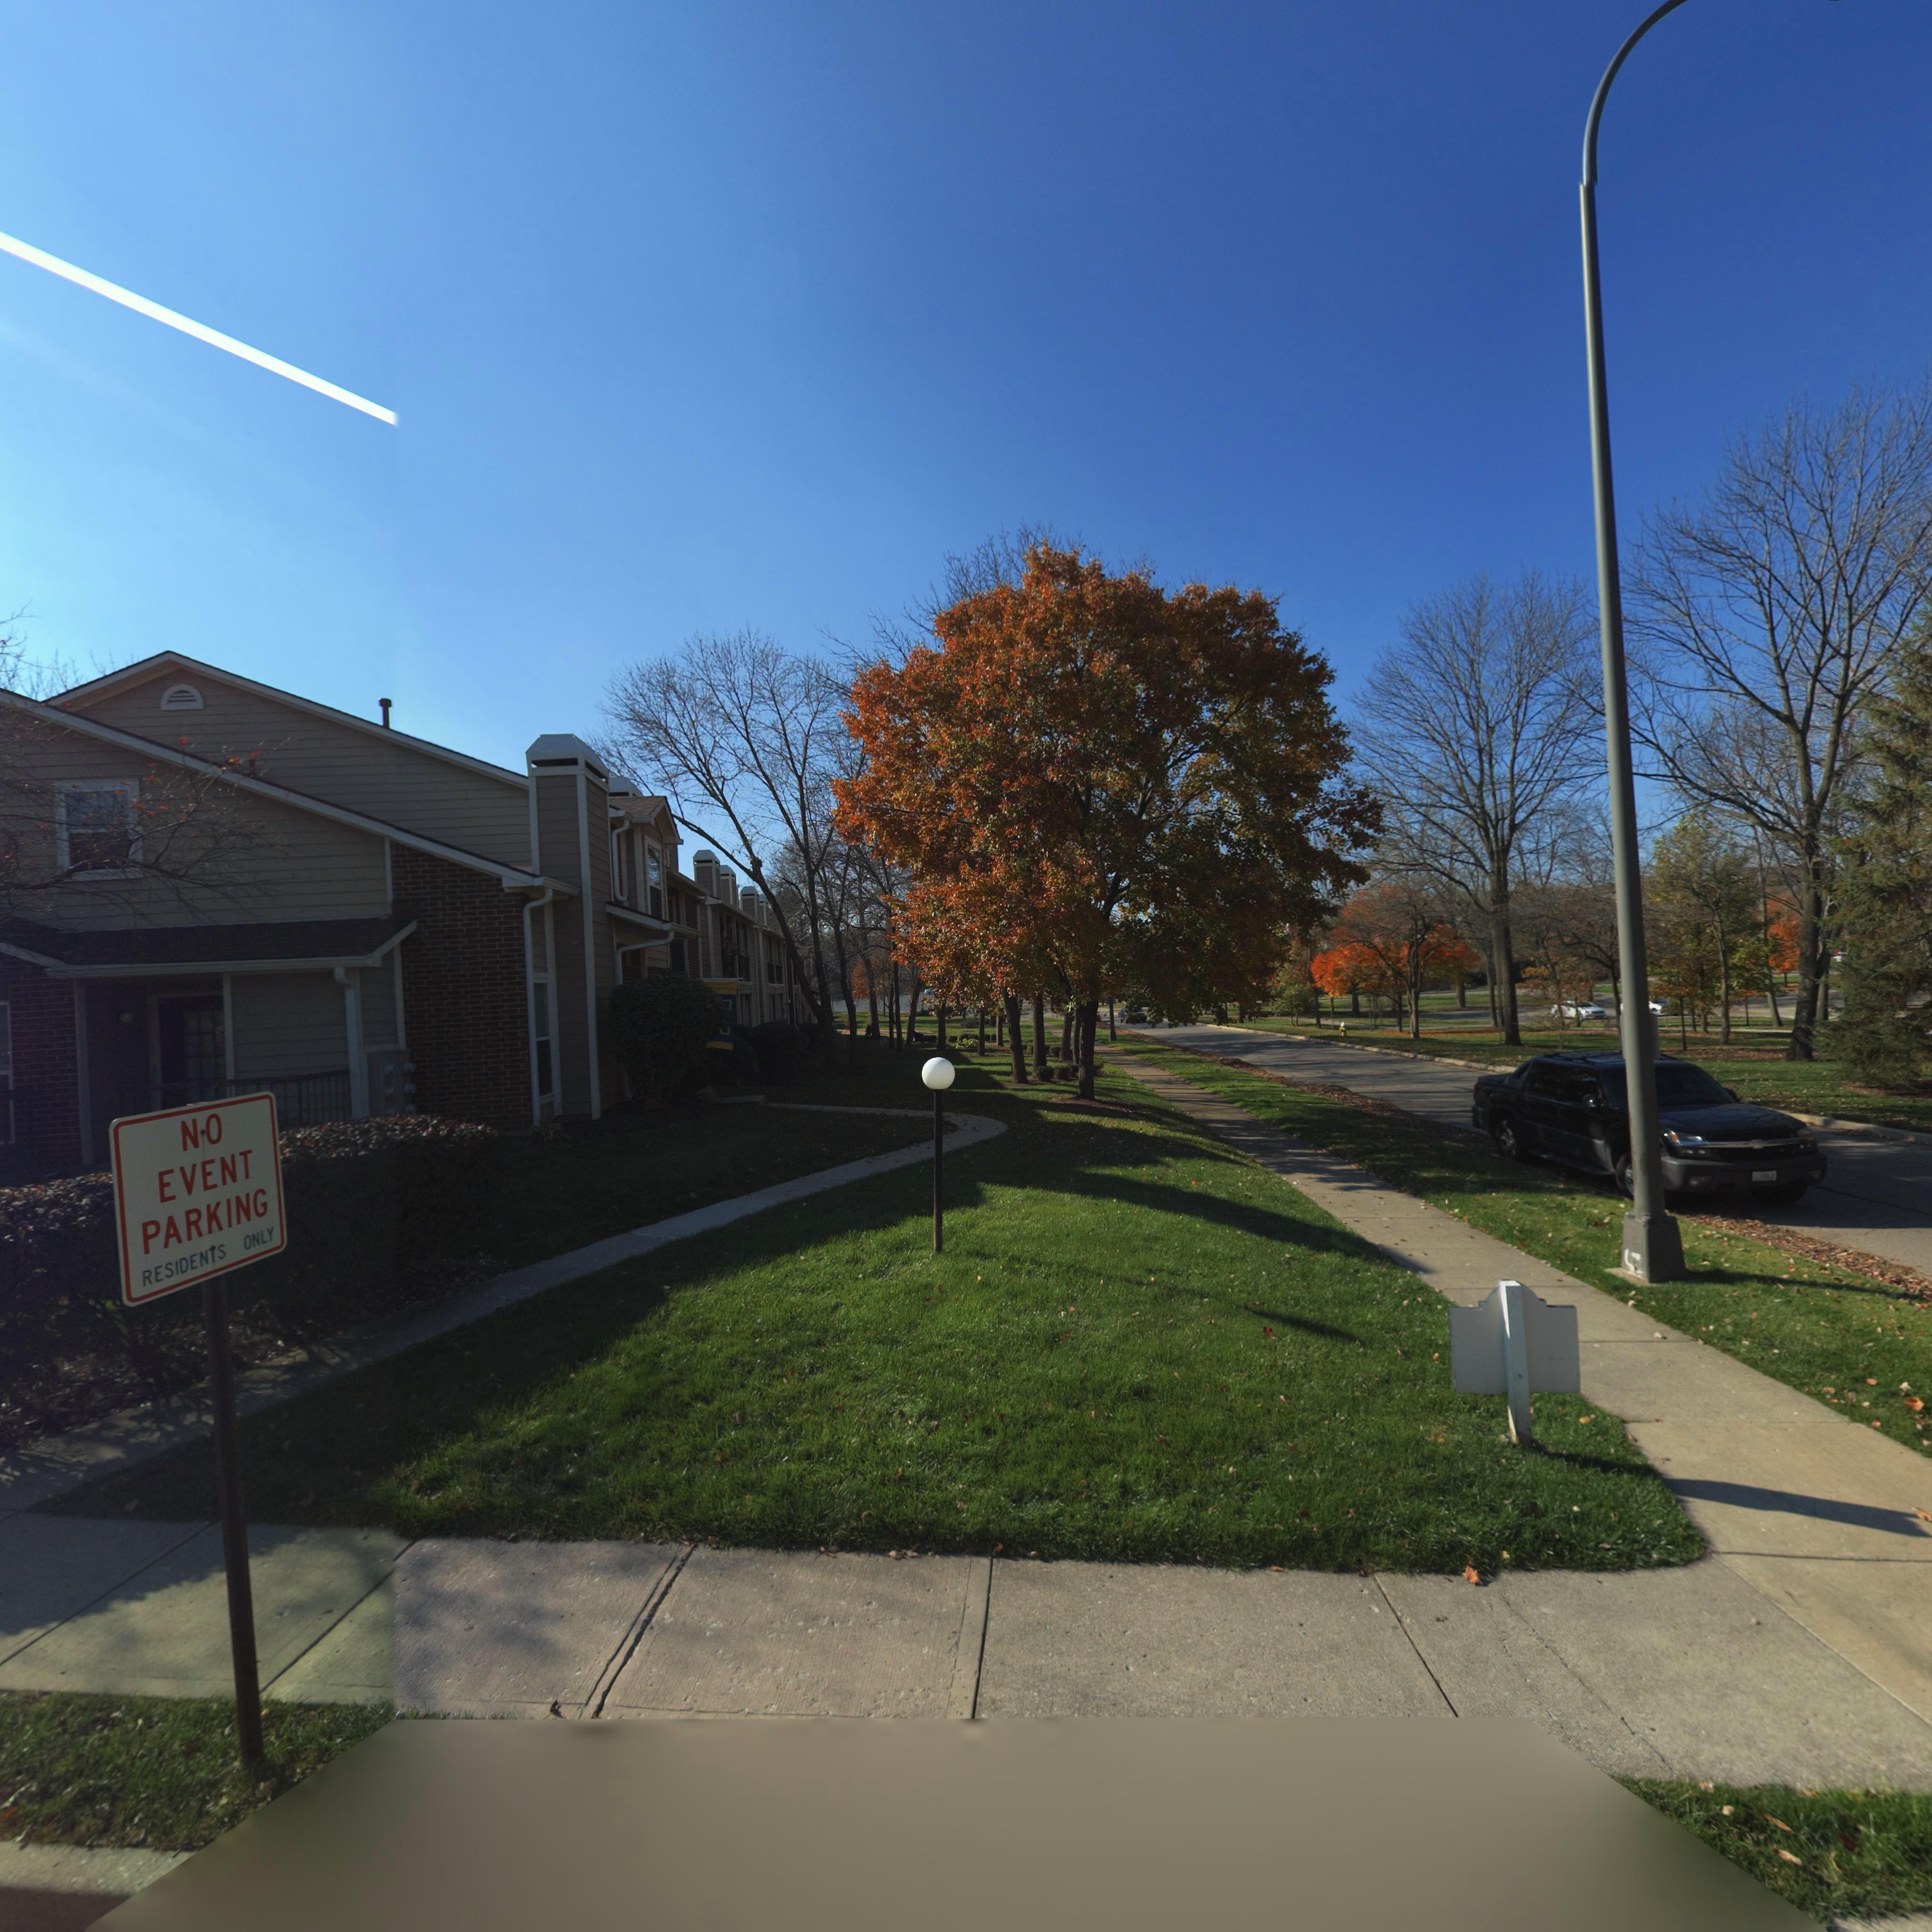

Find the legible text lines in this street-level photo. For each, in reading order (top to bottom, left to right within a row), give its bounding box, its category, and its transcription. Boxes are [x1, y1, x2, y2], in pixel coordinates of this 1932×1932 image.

[179, 1110, 225, 1154] None: NO
[156, 1147, 255, 1205] None: EVENT
[140, 1186, 270, 1257] None: PARKING
[141, 1225, 277, 1290] None: RESIDENTS ONLY